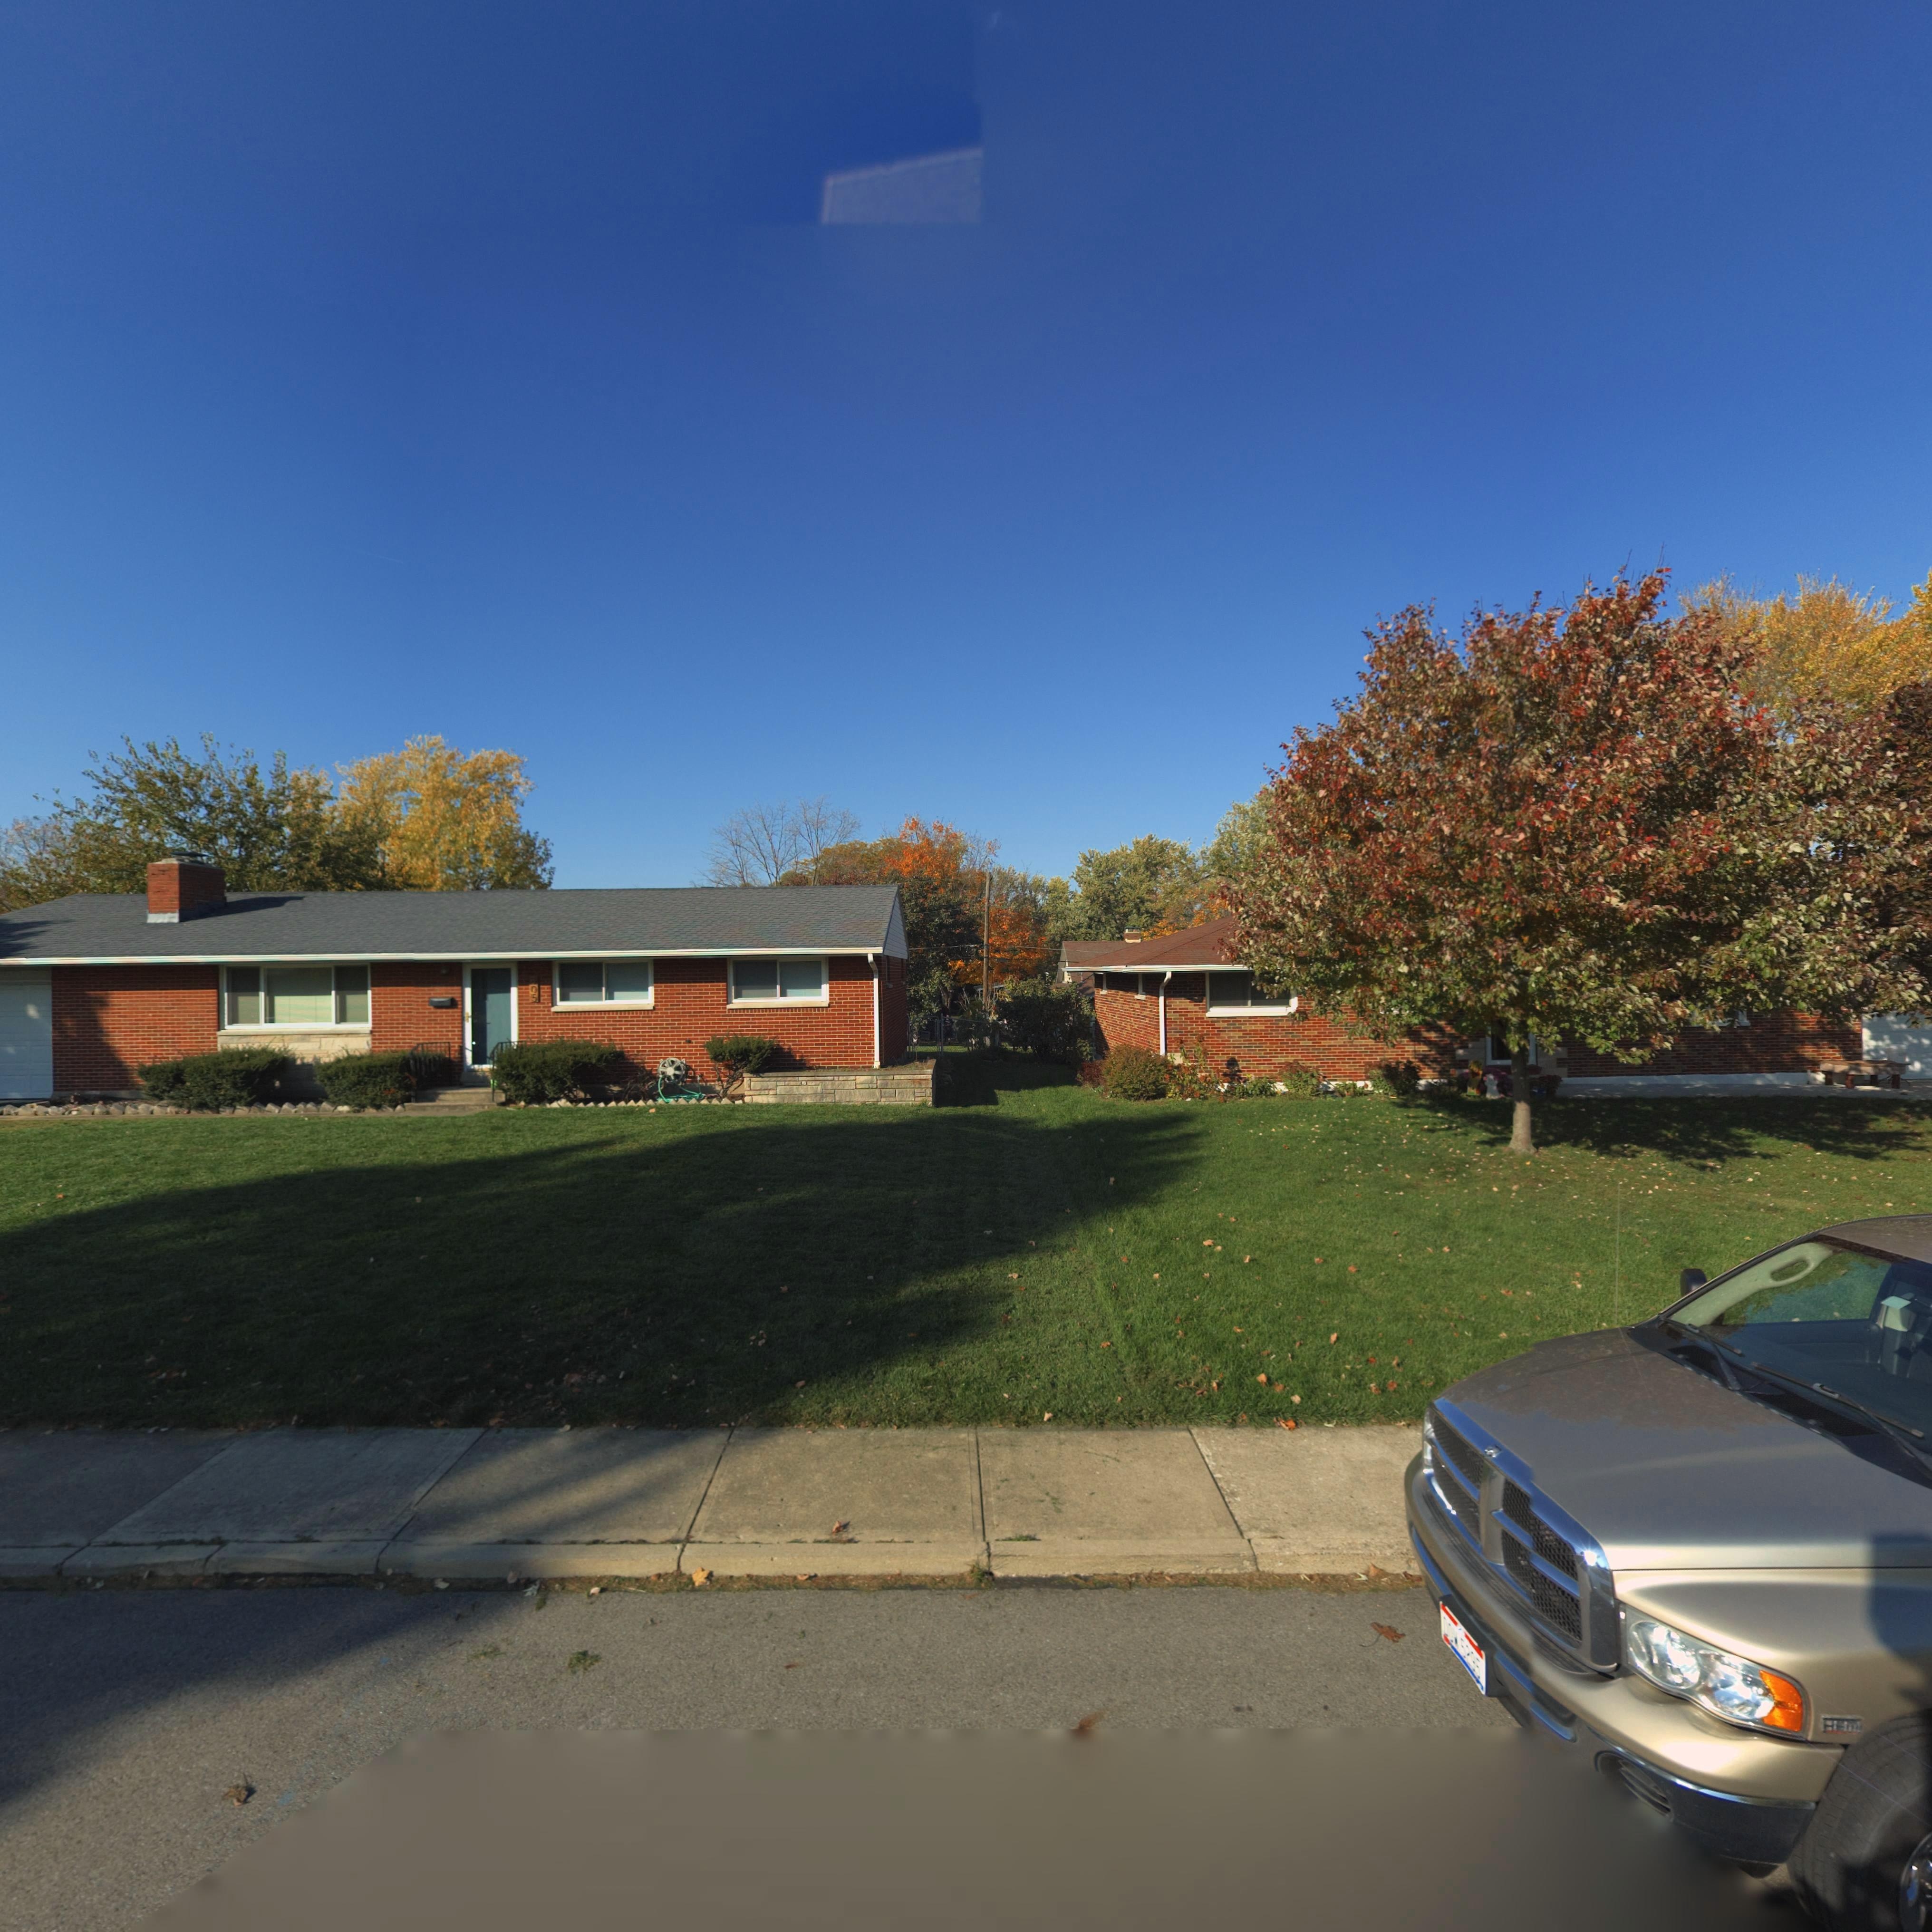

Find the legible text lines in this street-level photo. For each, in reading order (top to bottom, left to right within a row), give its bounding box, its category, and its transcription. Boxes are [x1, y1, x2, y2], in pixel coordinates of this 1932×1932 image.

[530, 976, 537, 1002] StreetNumber: 805